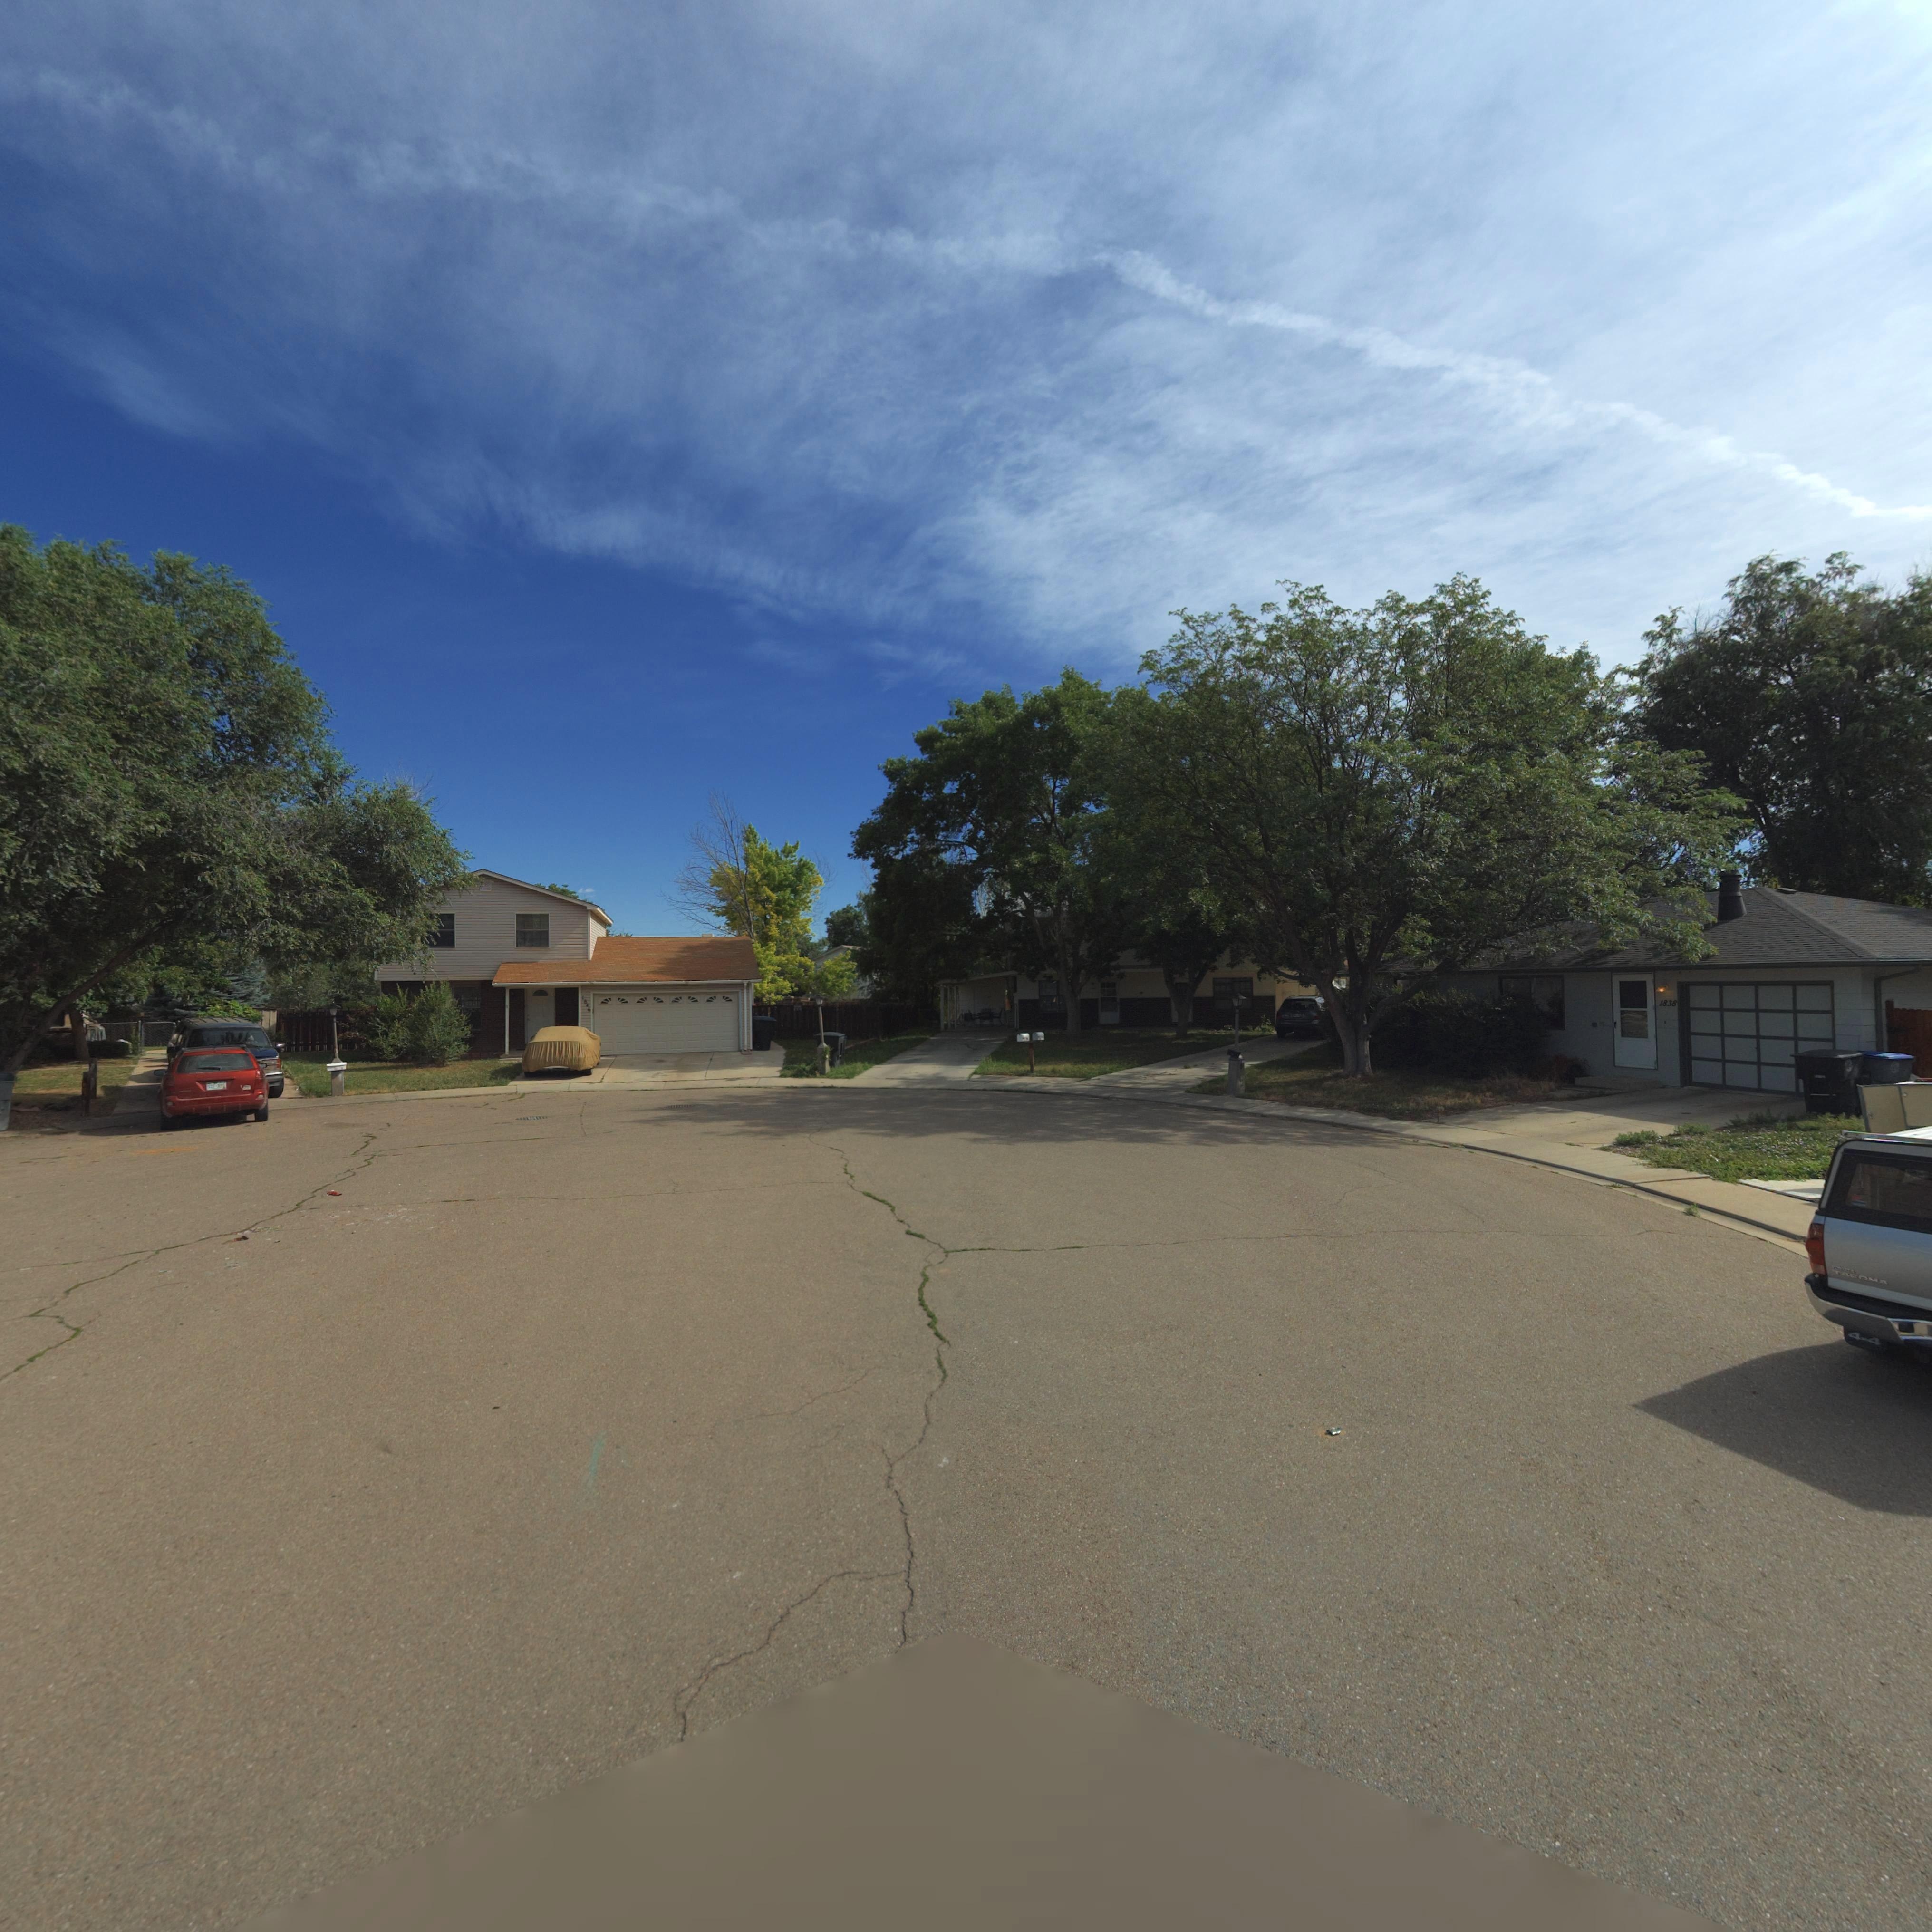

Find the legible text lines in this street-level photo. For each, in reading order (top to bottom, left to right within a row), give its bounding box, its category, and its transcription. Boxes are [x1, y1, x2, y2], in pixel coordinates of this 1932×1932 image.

[581, 995, 590, 1012] StreetNumber: 1846
[1658, 998, 1677, 1007] StreetNumber: 1838